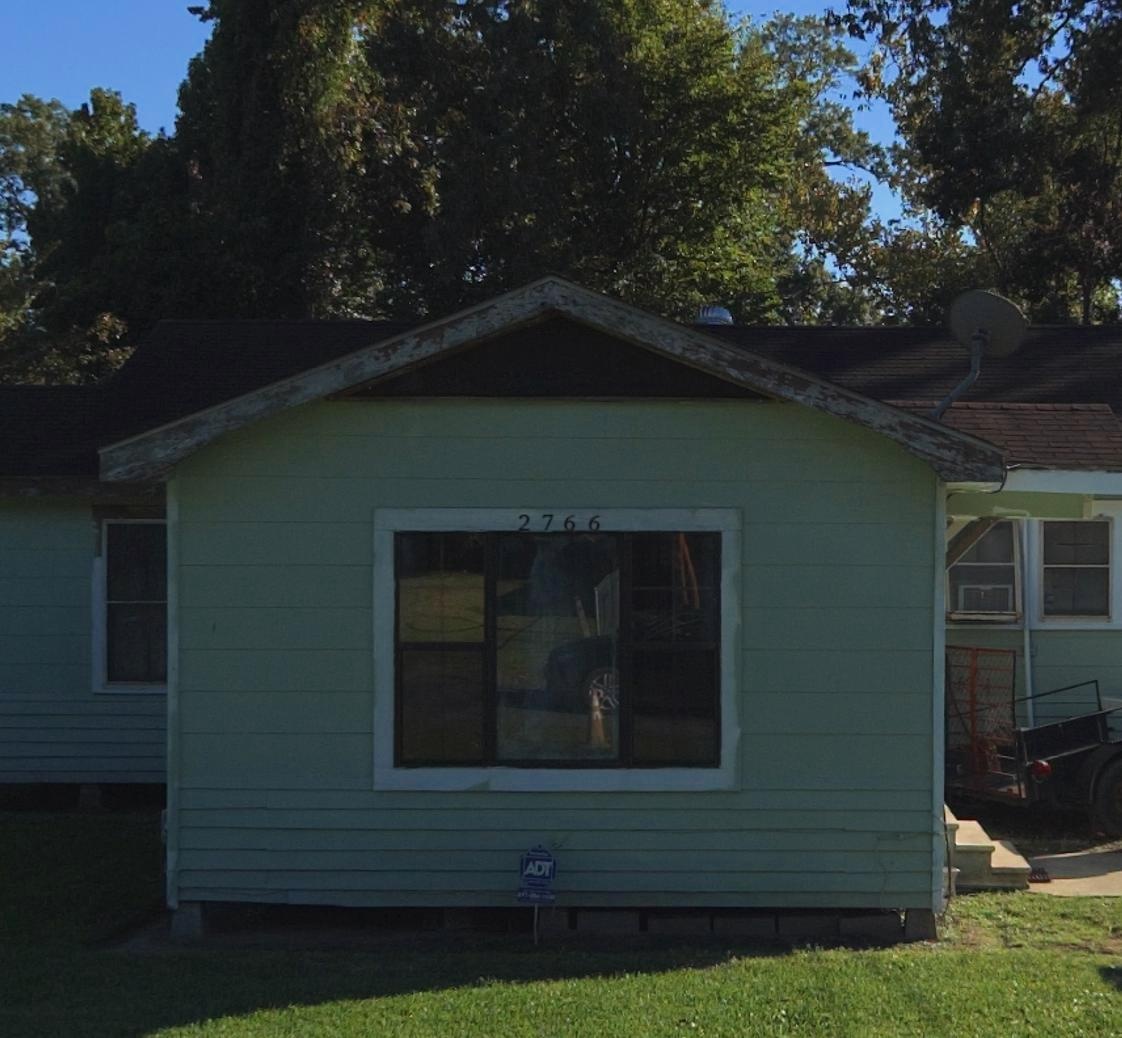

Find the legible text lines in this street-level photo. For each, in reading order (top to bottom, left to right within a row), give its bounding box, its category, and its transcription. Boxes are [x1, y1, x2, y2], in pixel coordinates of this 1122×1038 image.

[516, 512, 602, 533] StreetNumber: 2766
[521, 859, 555, 877] None: ADT